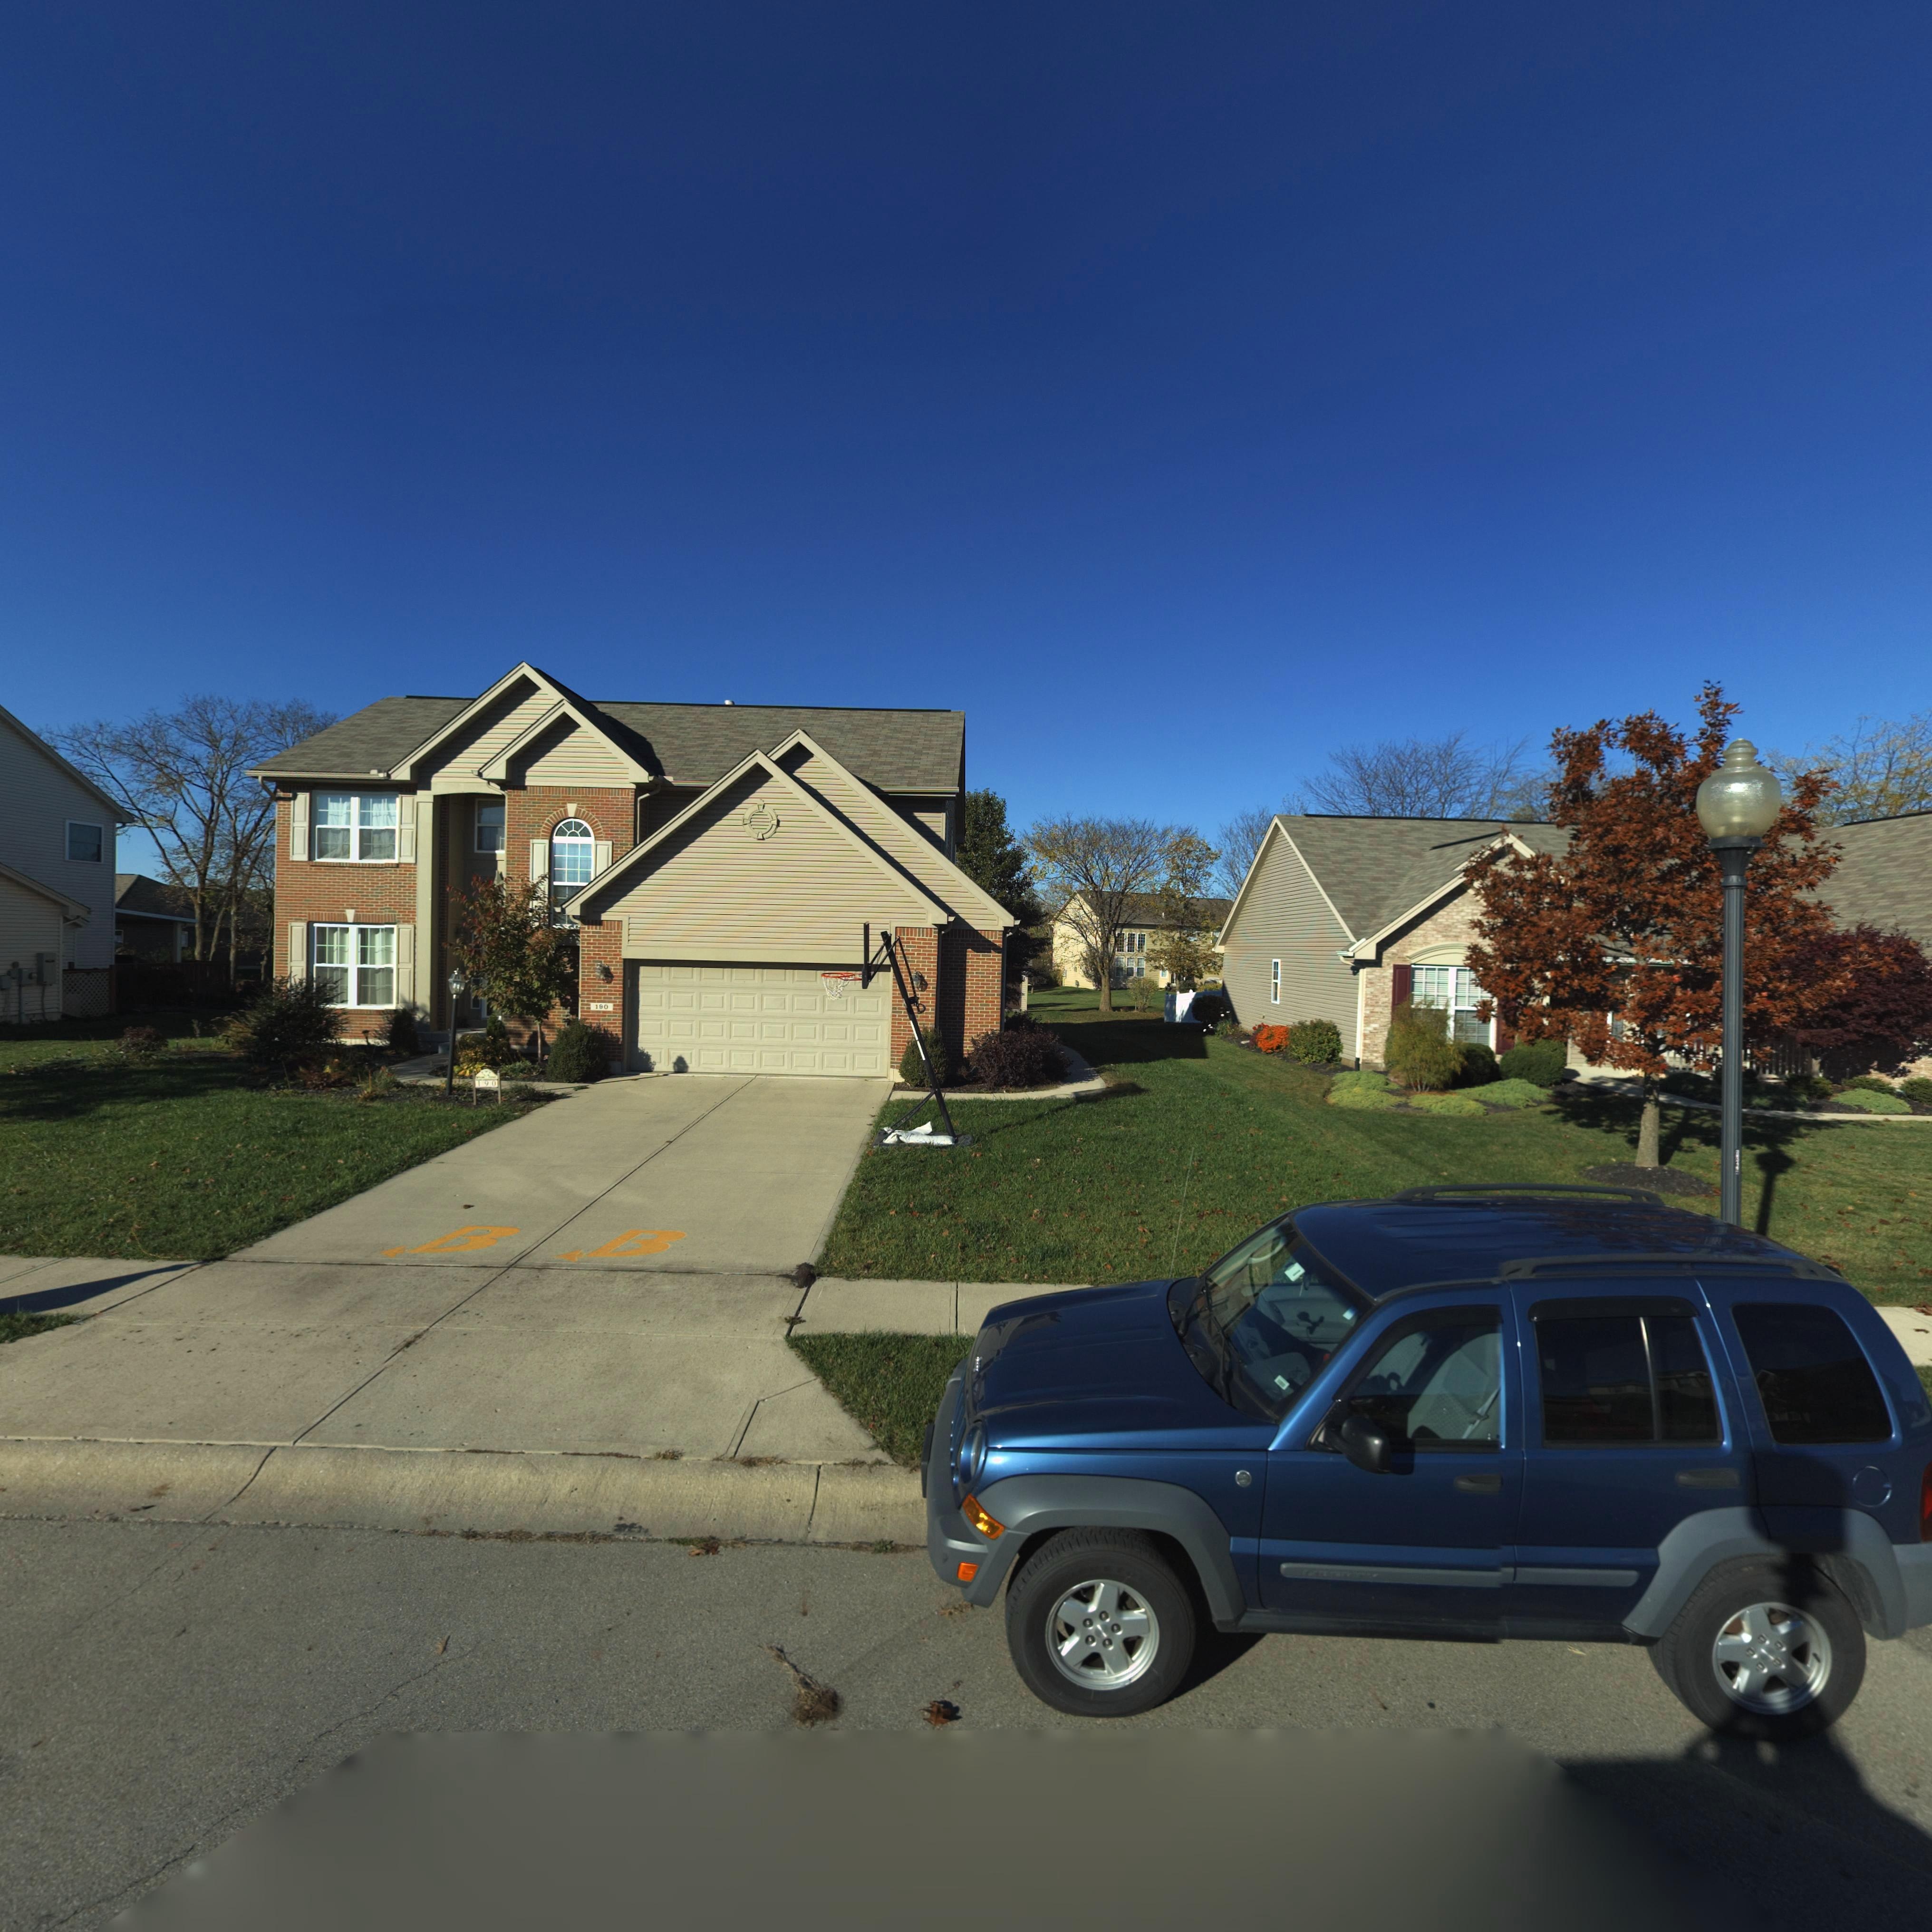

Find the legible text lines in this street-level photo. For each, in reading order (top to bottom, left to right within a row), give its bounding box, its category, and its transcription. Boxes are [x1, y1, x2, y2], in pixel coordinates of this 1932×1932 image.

[595, 1003, 609, 1010] StreetNumber: 190
[477, 1080, 497, 1088] StreetNumber: 190